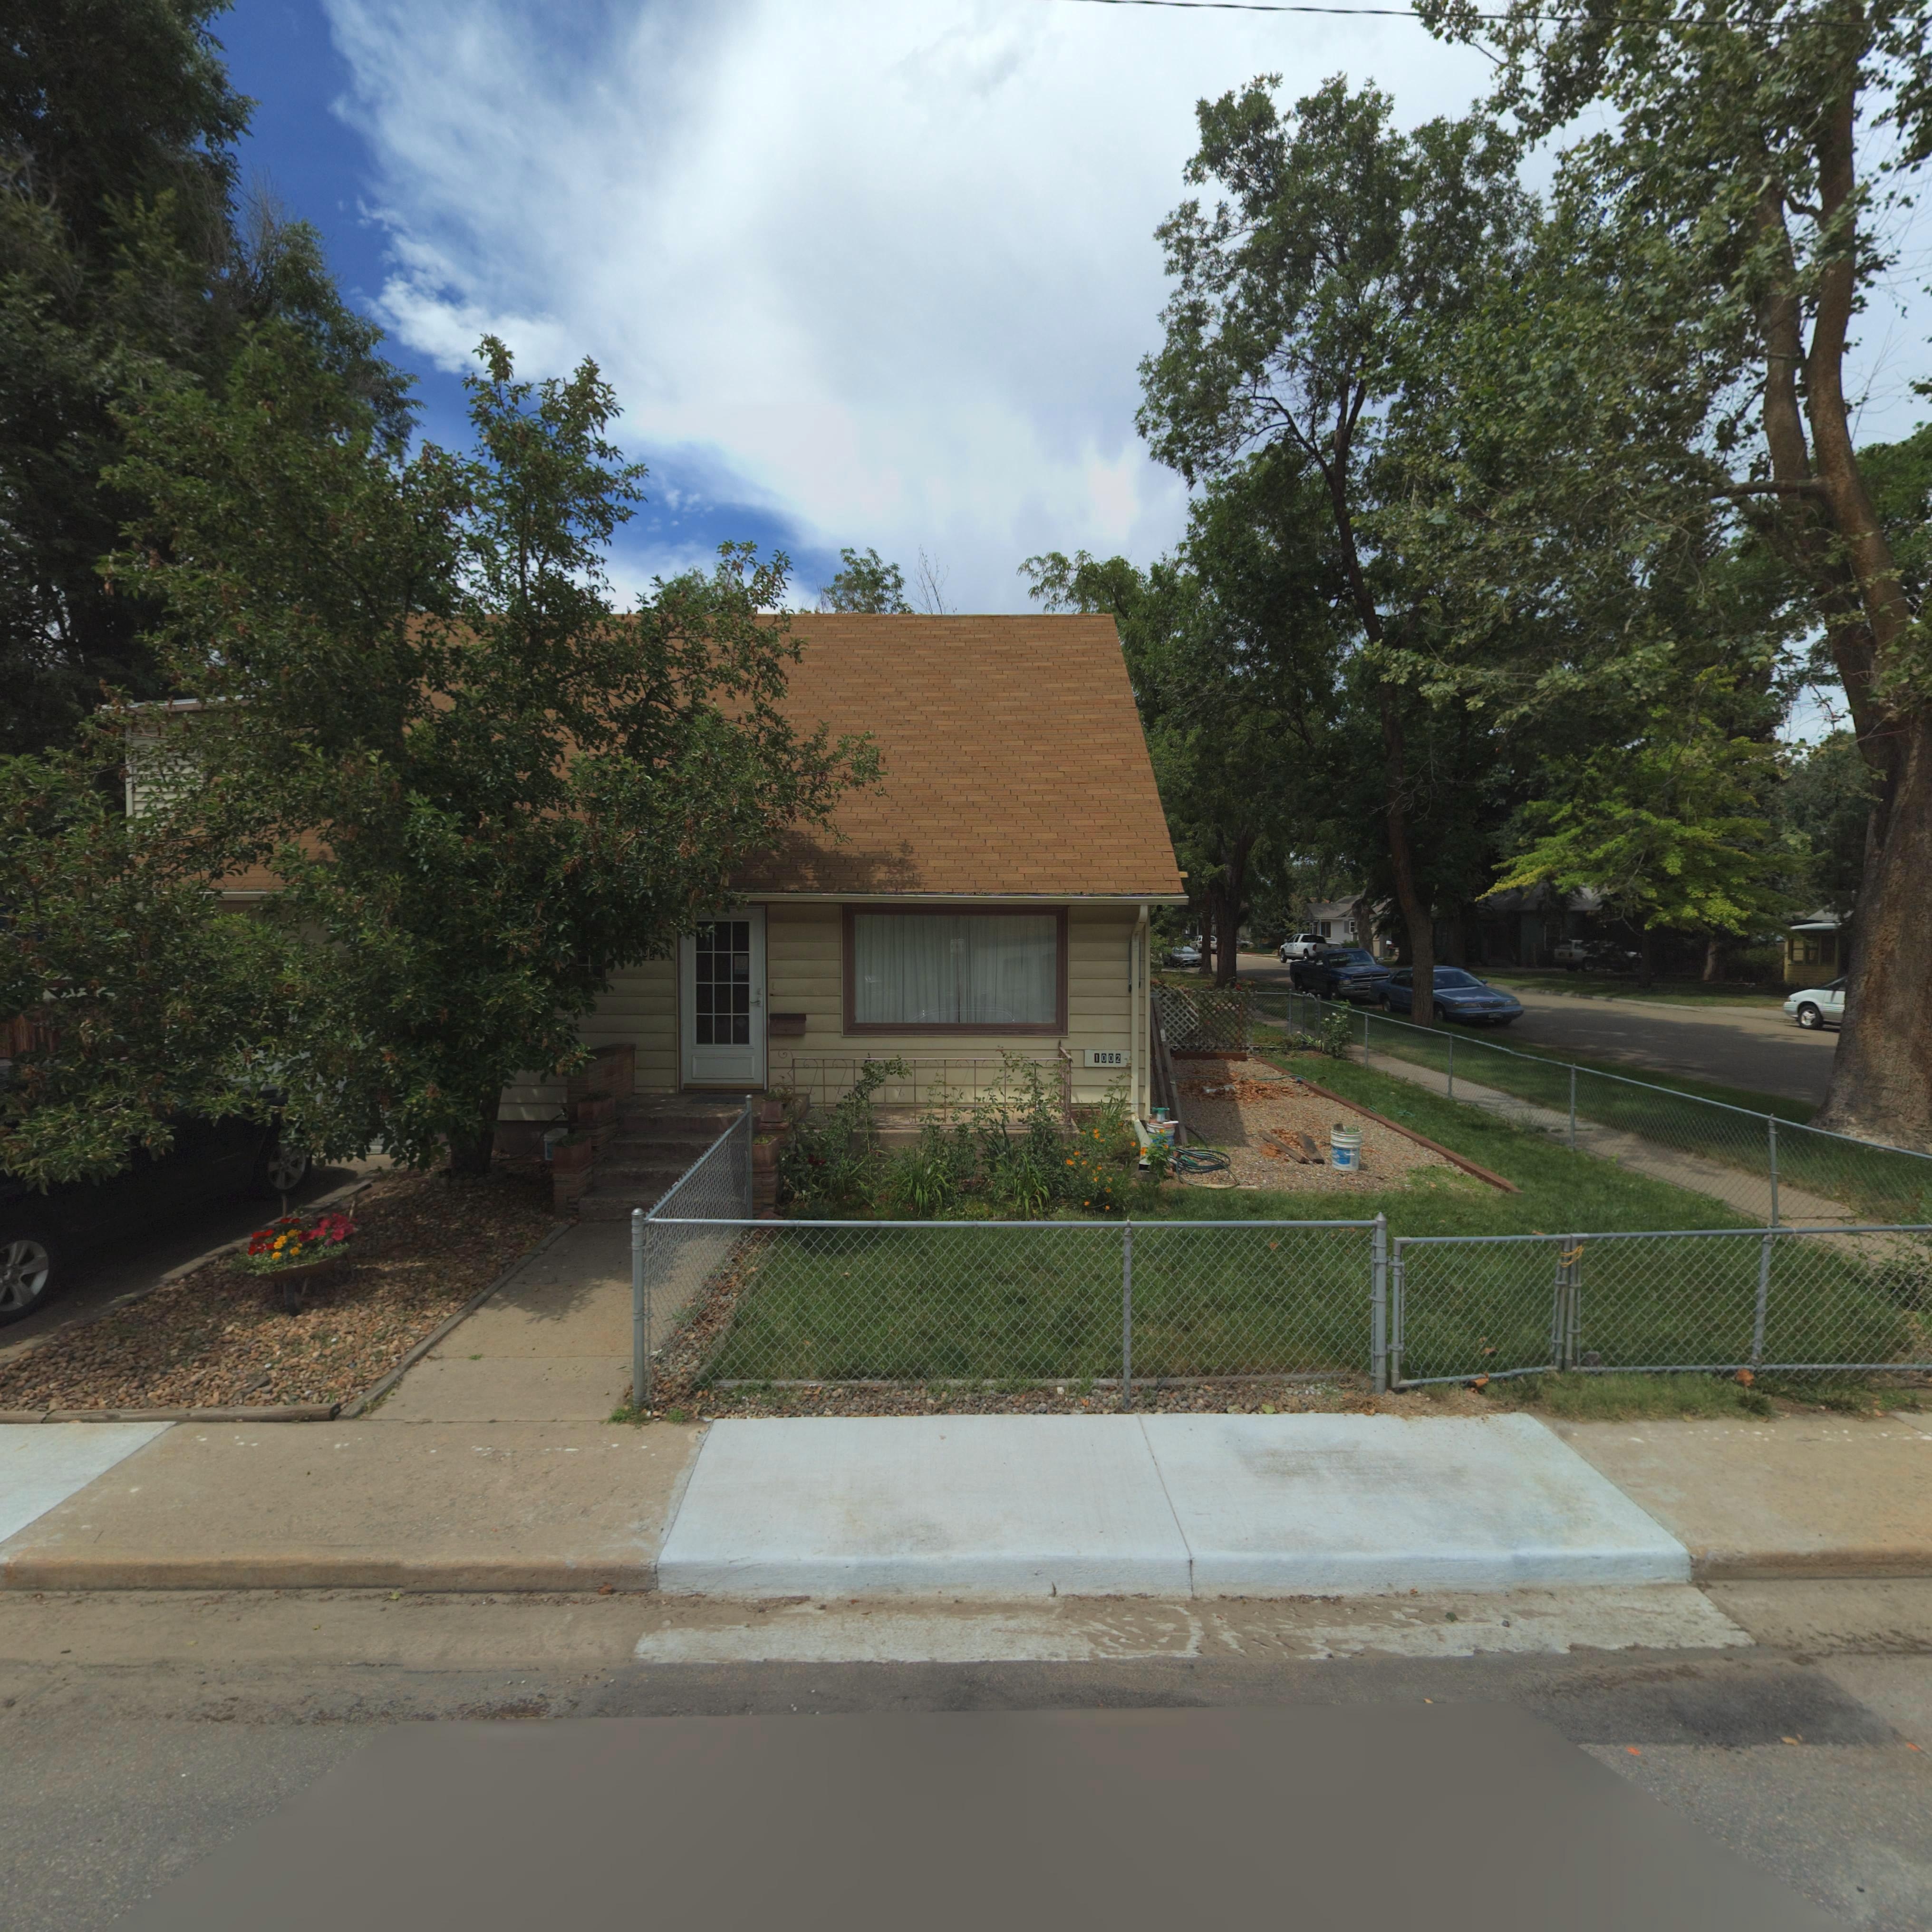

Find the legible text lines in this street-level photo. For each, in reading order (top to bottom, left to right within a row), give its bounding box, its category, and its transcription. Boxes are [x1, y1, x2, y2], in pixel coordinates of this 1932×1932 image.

[1095, 1054, 1120, 1062] StreetNumber: 1002